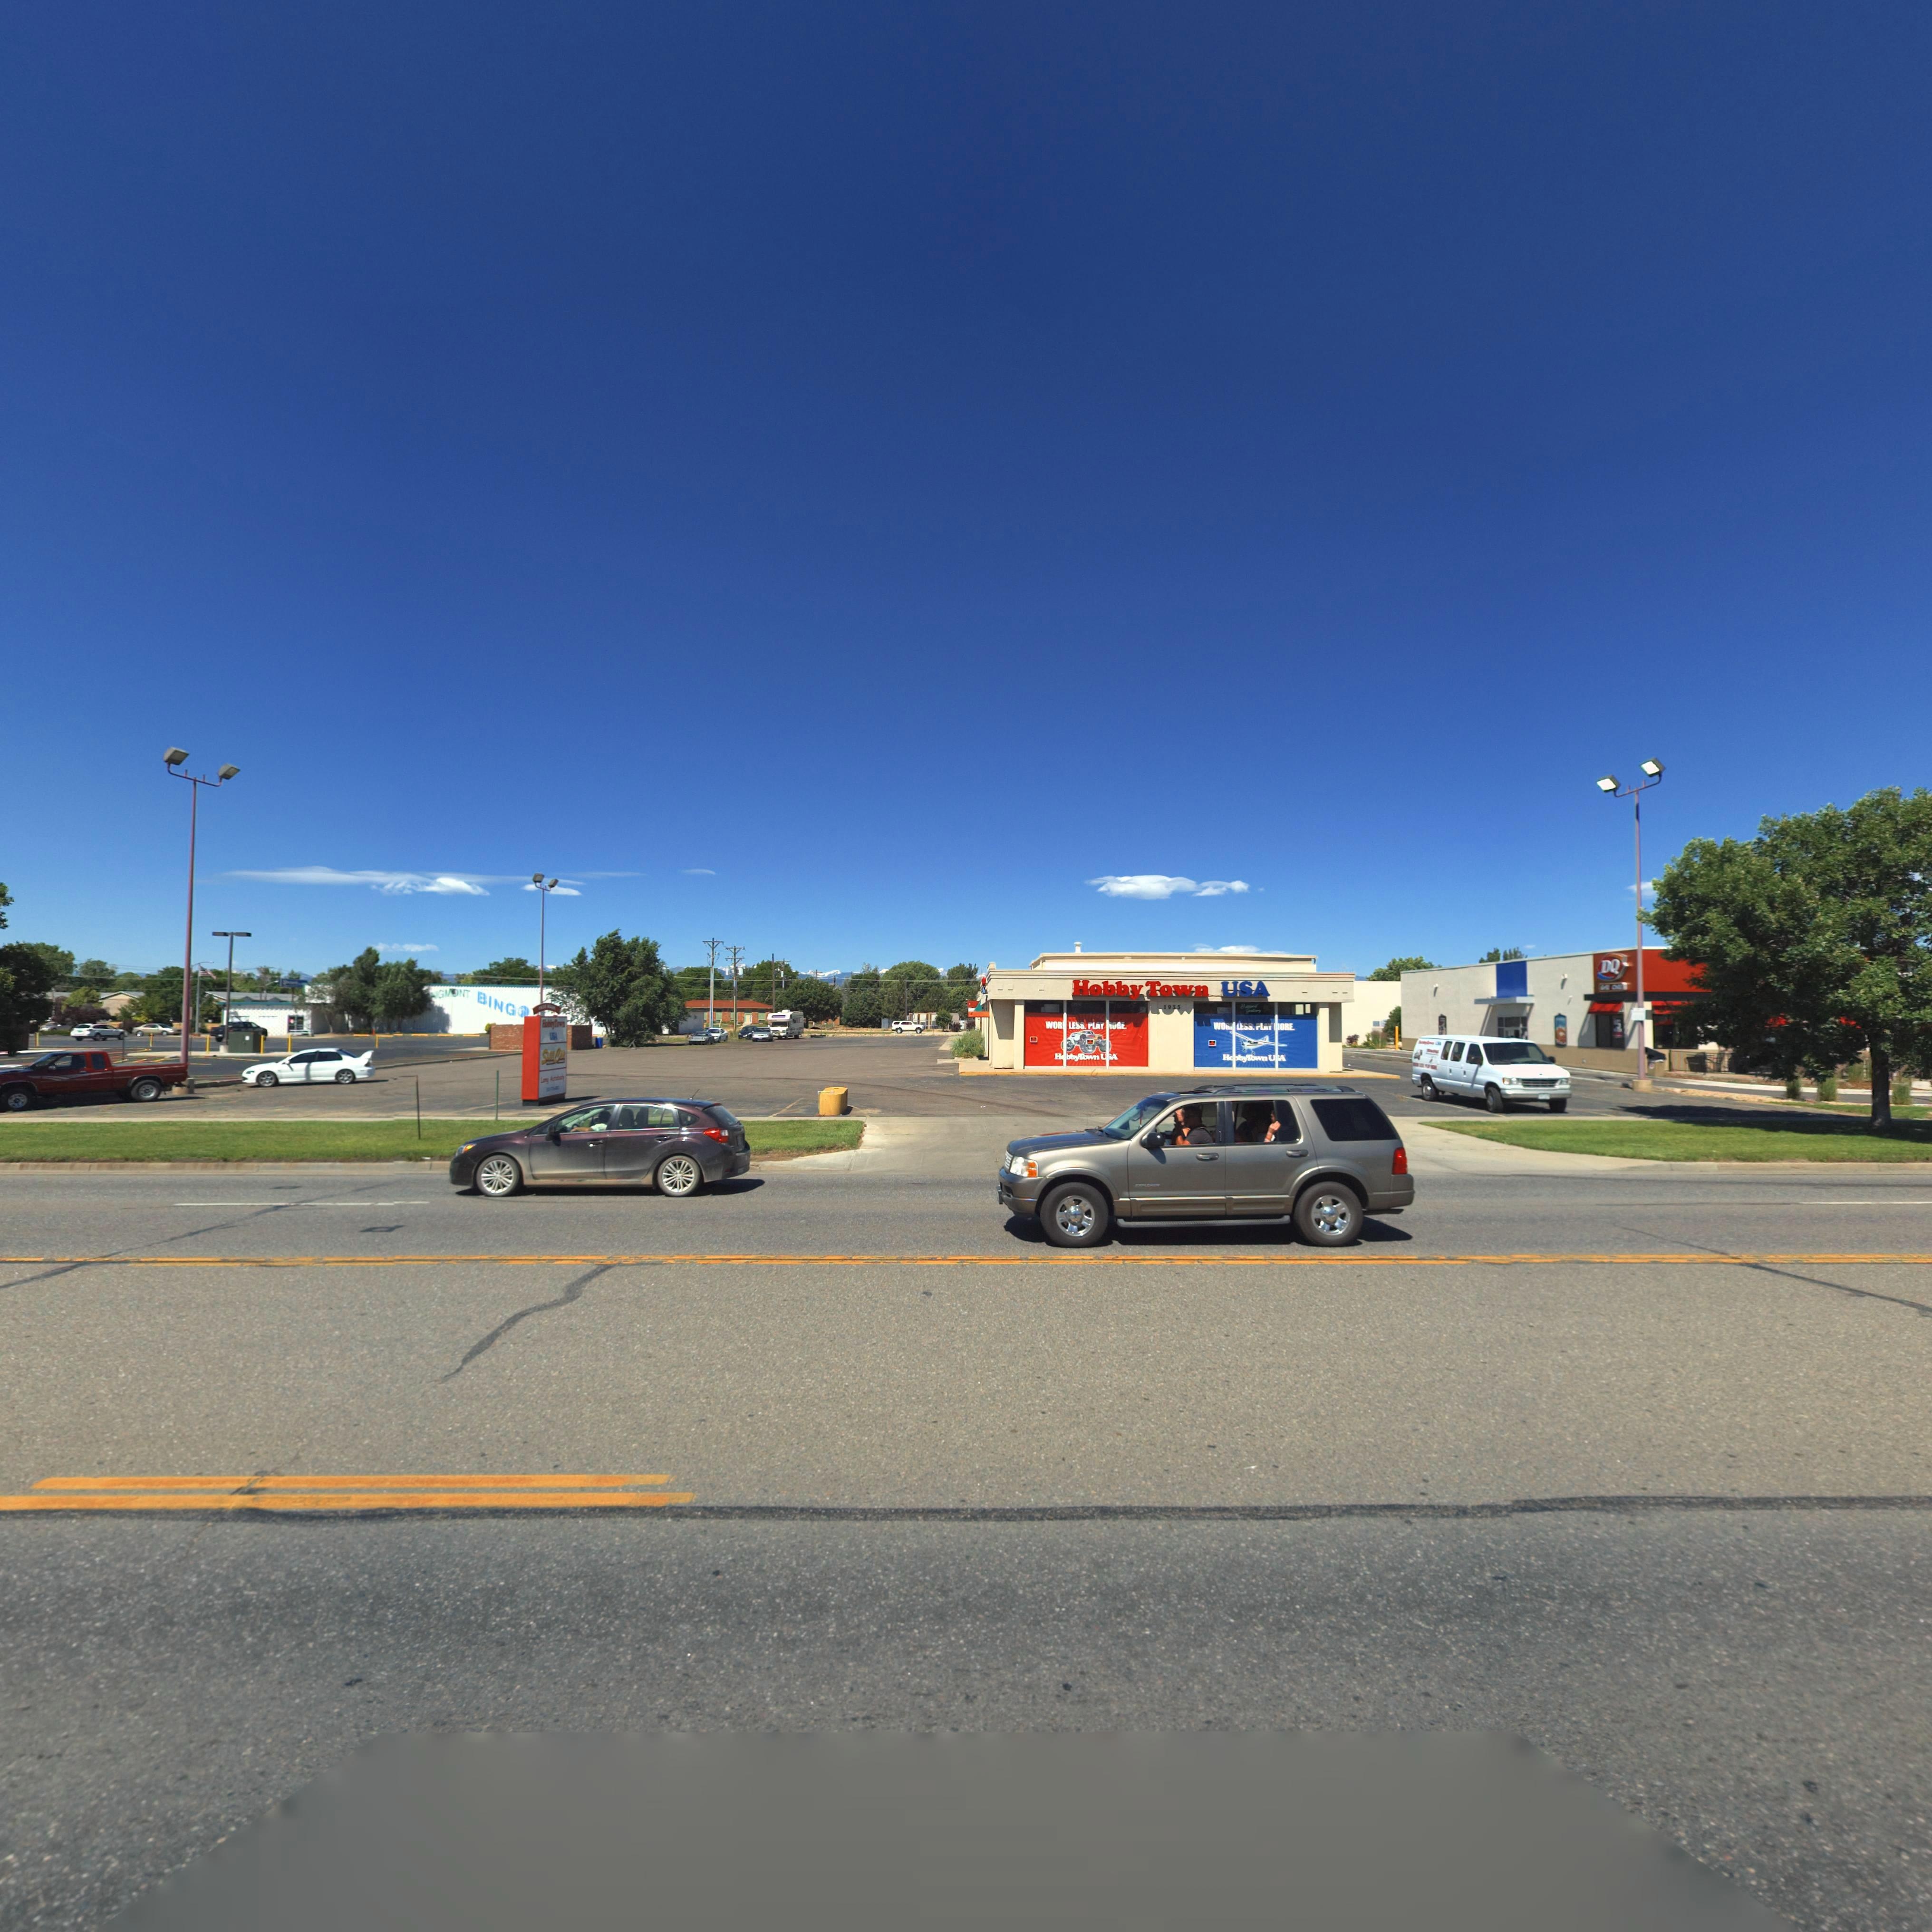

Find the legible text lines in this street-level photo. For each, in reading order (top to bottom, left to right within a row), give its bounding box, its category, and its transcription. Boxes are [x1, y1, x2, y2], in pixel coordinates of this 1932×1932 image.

[1600, 958, 1621, 975] BusinessName: DQ
[1072, 979, 1271, 1000] BusinessName: HobbyTown USA
[429, 987, 529, 1018] BusinessName: NGMONT BING*
[546, 1004, 556, 1010] StreetName: M***
[1163, 1004, 1181, 1009] StreetNumber: 1935
[542, 1018, 565, 1030] BusinessName: HobbyTown
[549, 1032, 558, 1040] BusinessName: USA
[540, 1047, 566, 1064] BusinessName: SLOTCAR
[540, 1073, 564, 1085] BusinessName: Long Autobody